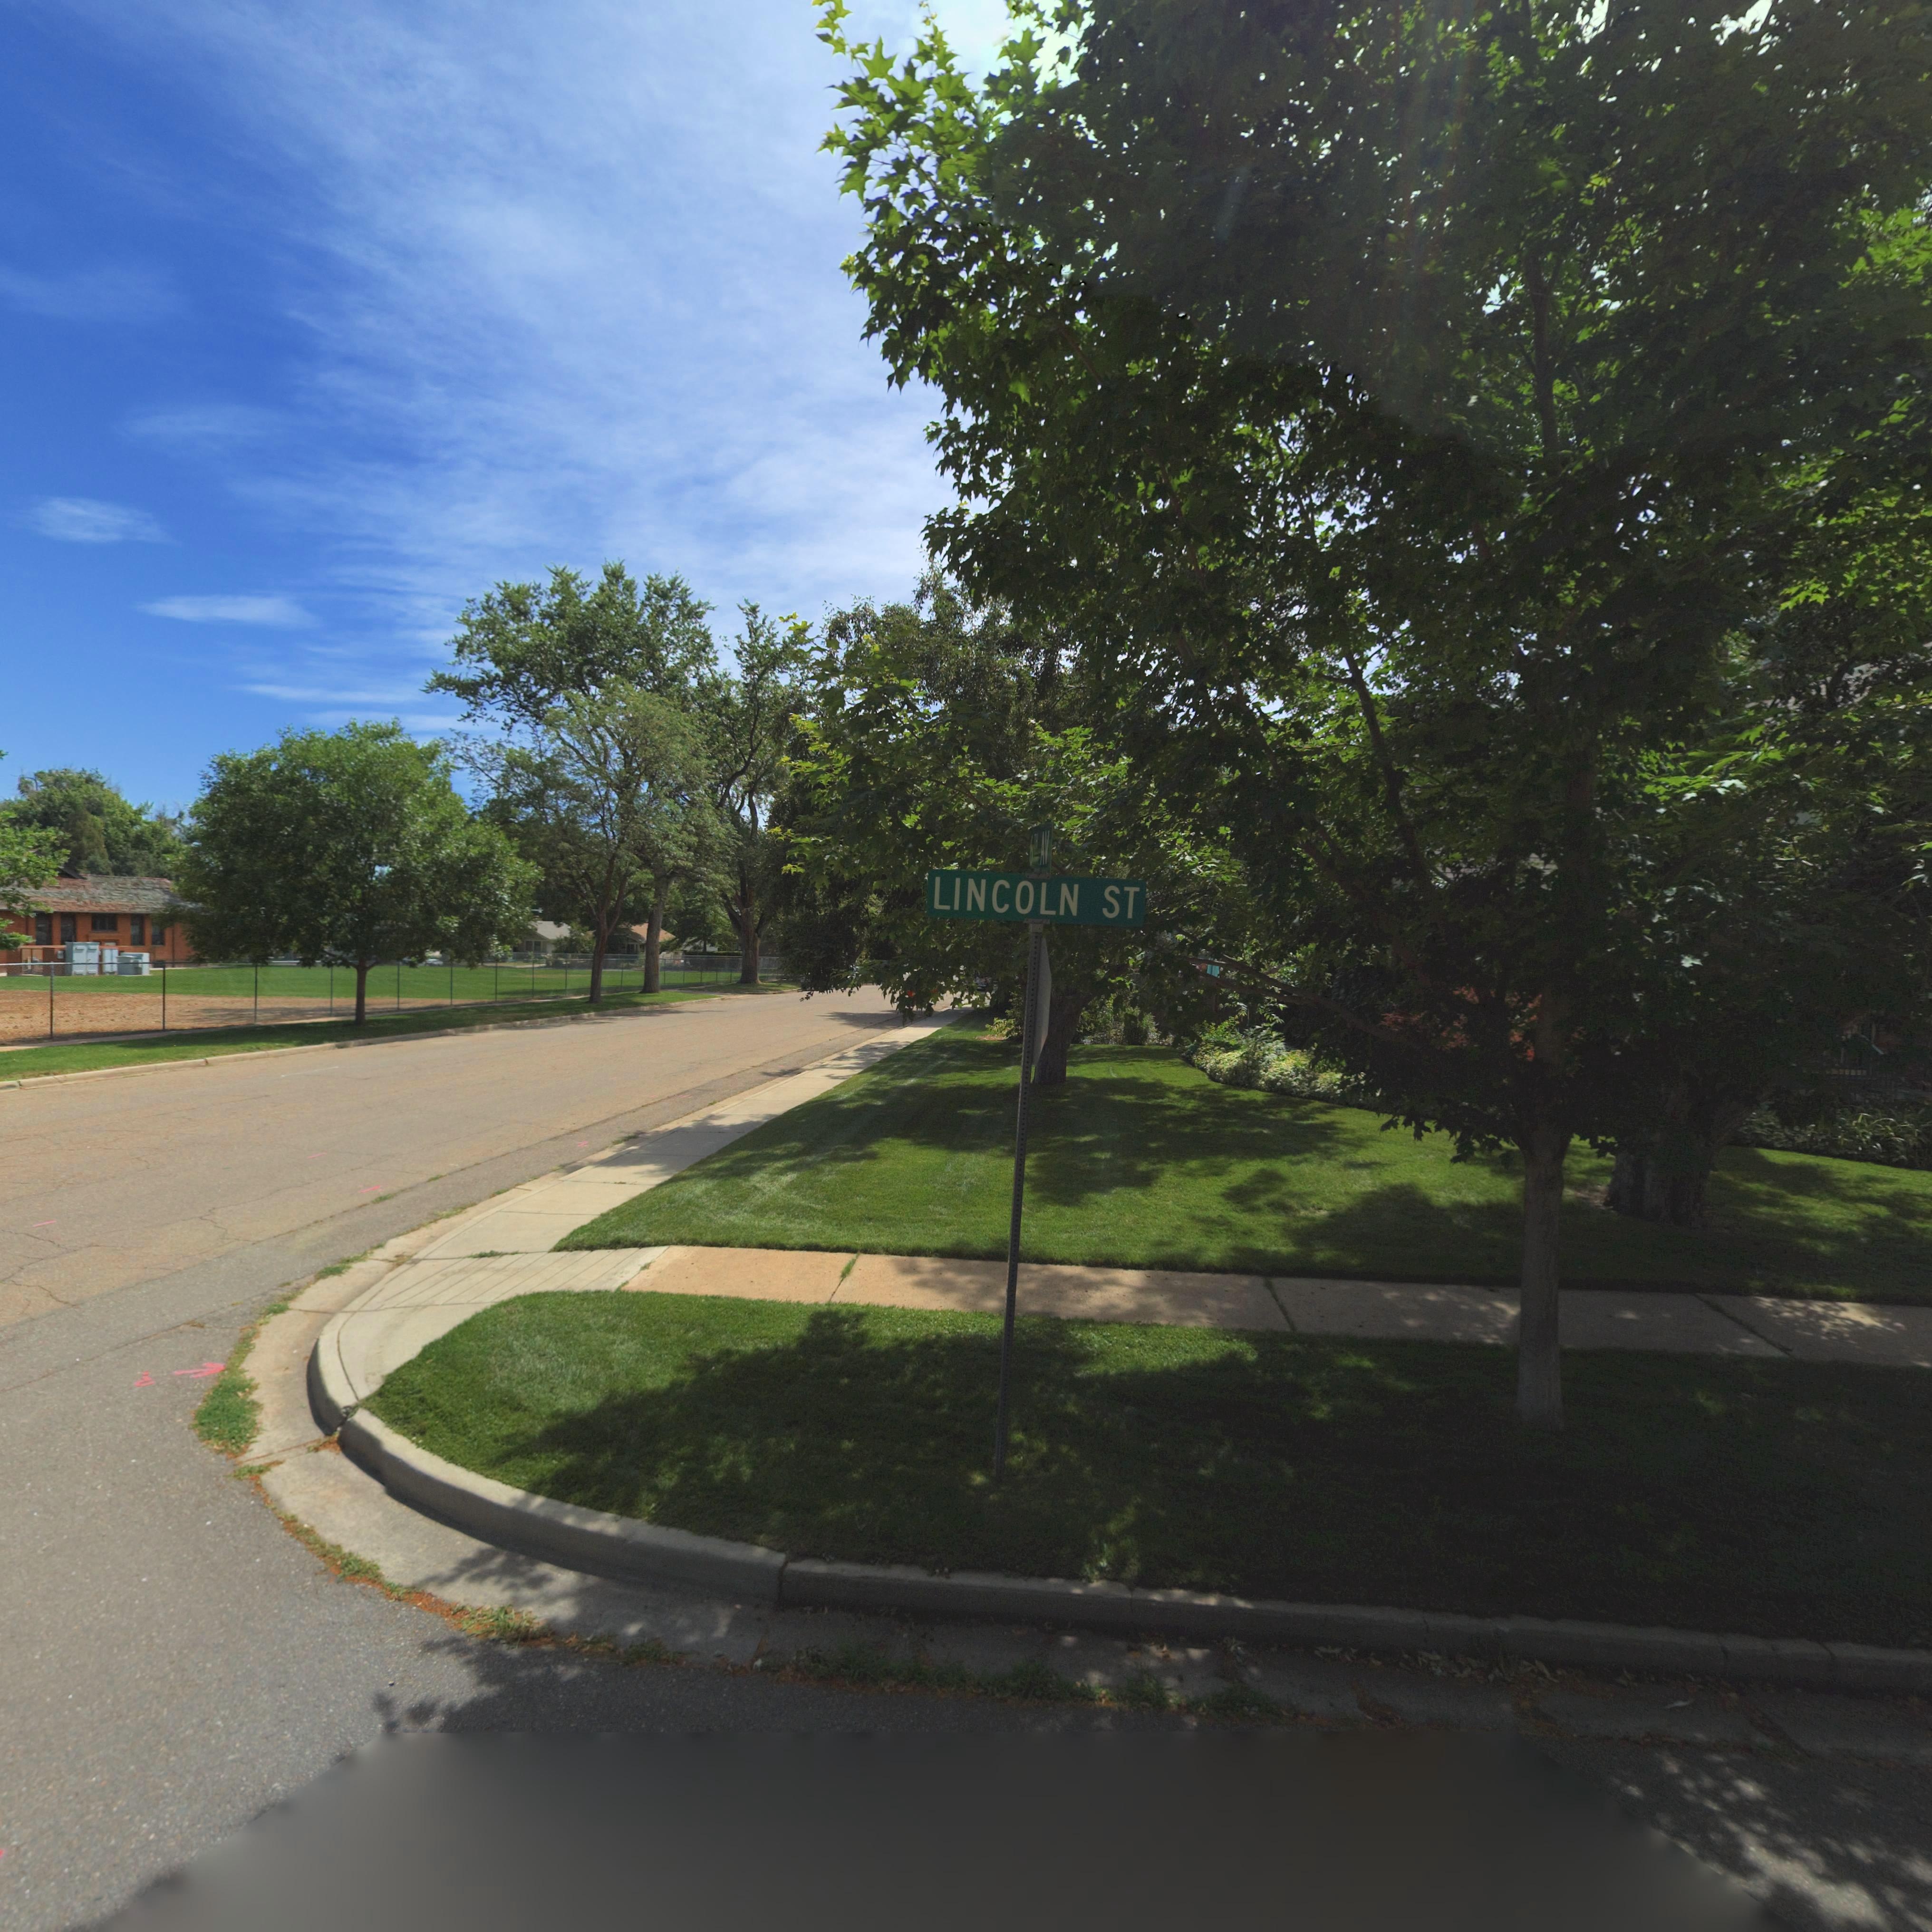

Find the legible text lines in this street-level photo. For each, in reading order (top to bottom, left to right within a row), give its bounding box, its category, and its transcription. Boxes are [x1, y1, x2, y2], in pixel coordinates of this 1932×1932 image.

[1029, 828, 1050, 867] StreetName: 6TH AV
[933, 876, 1141, 919] StreetName: LINCOLN ST